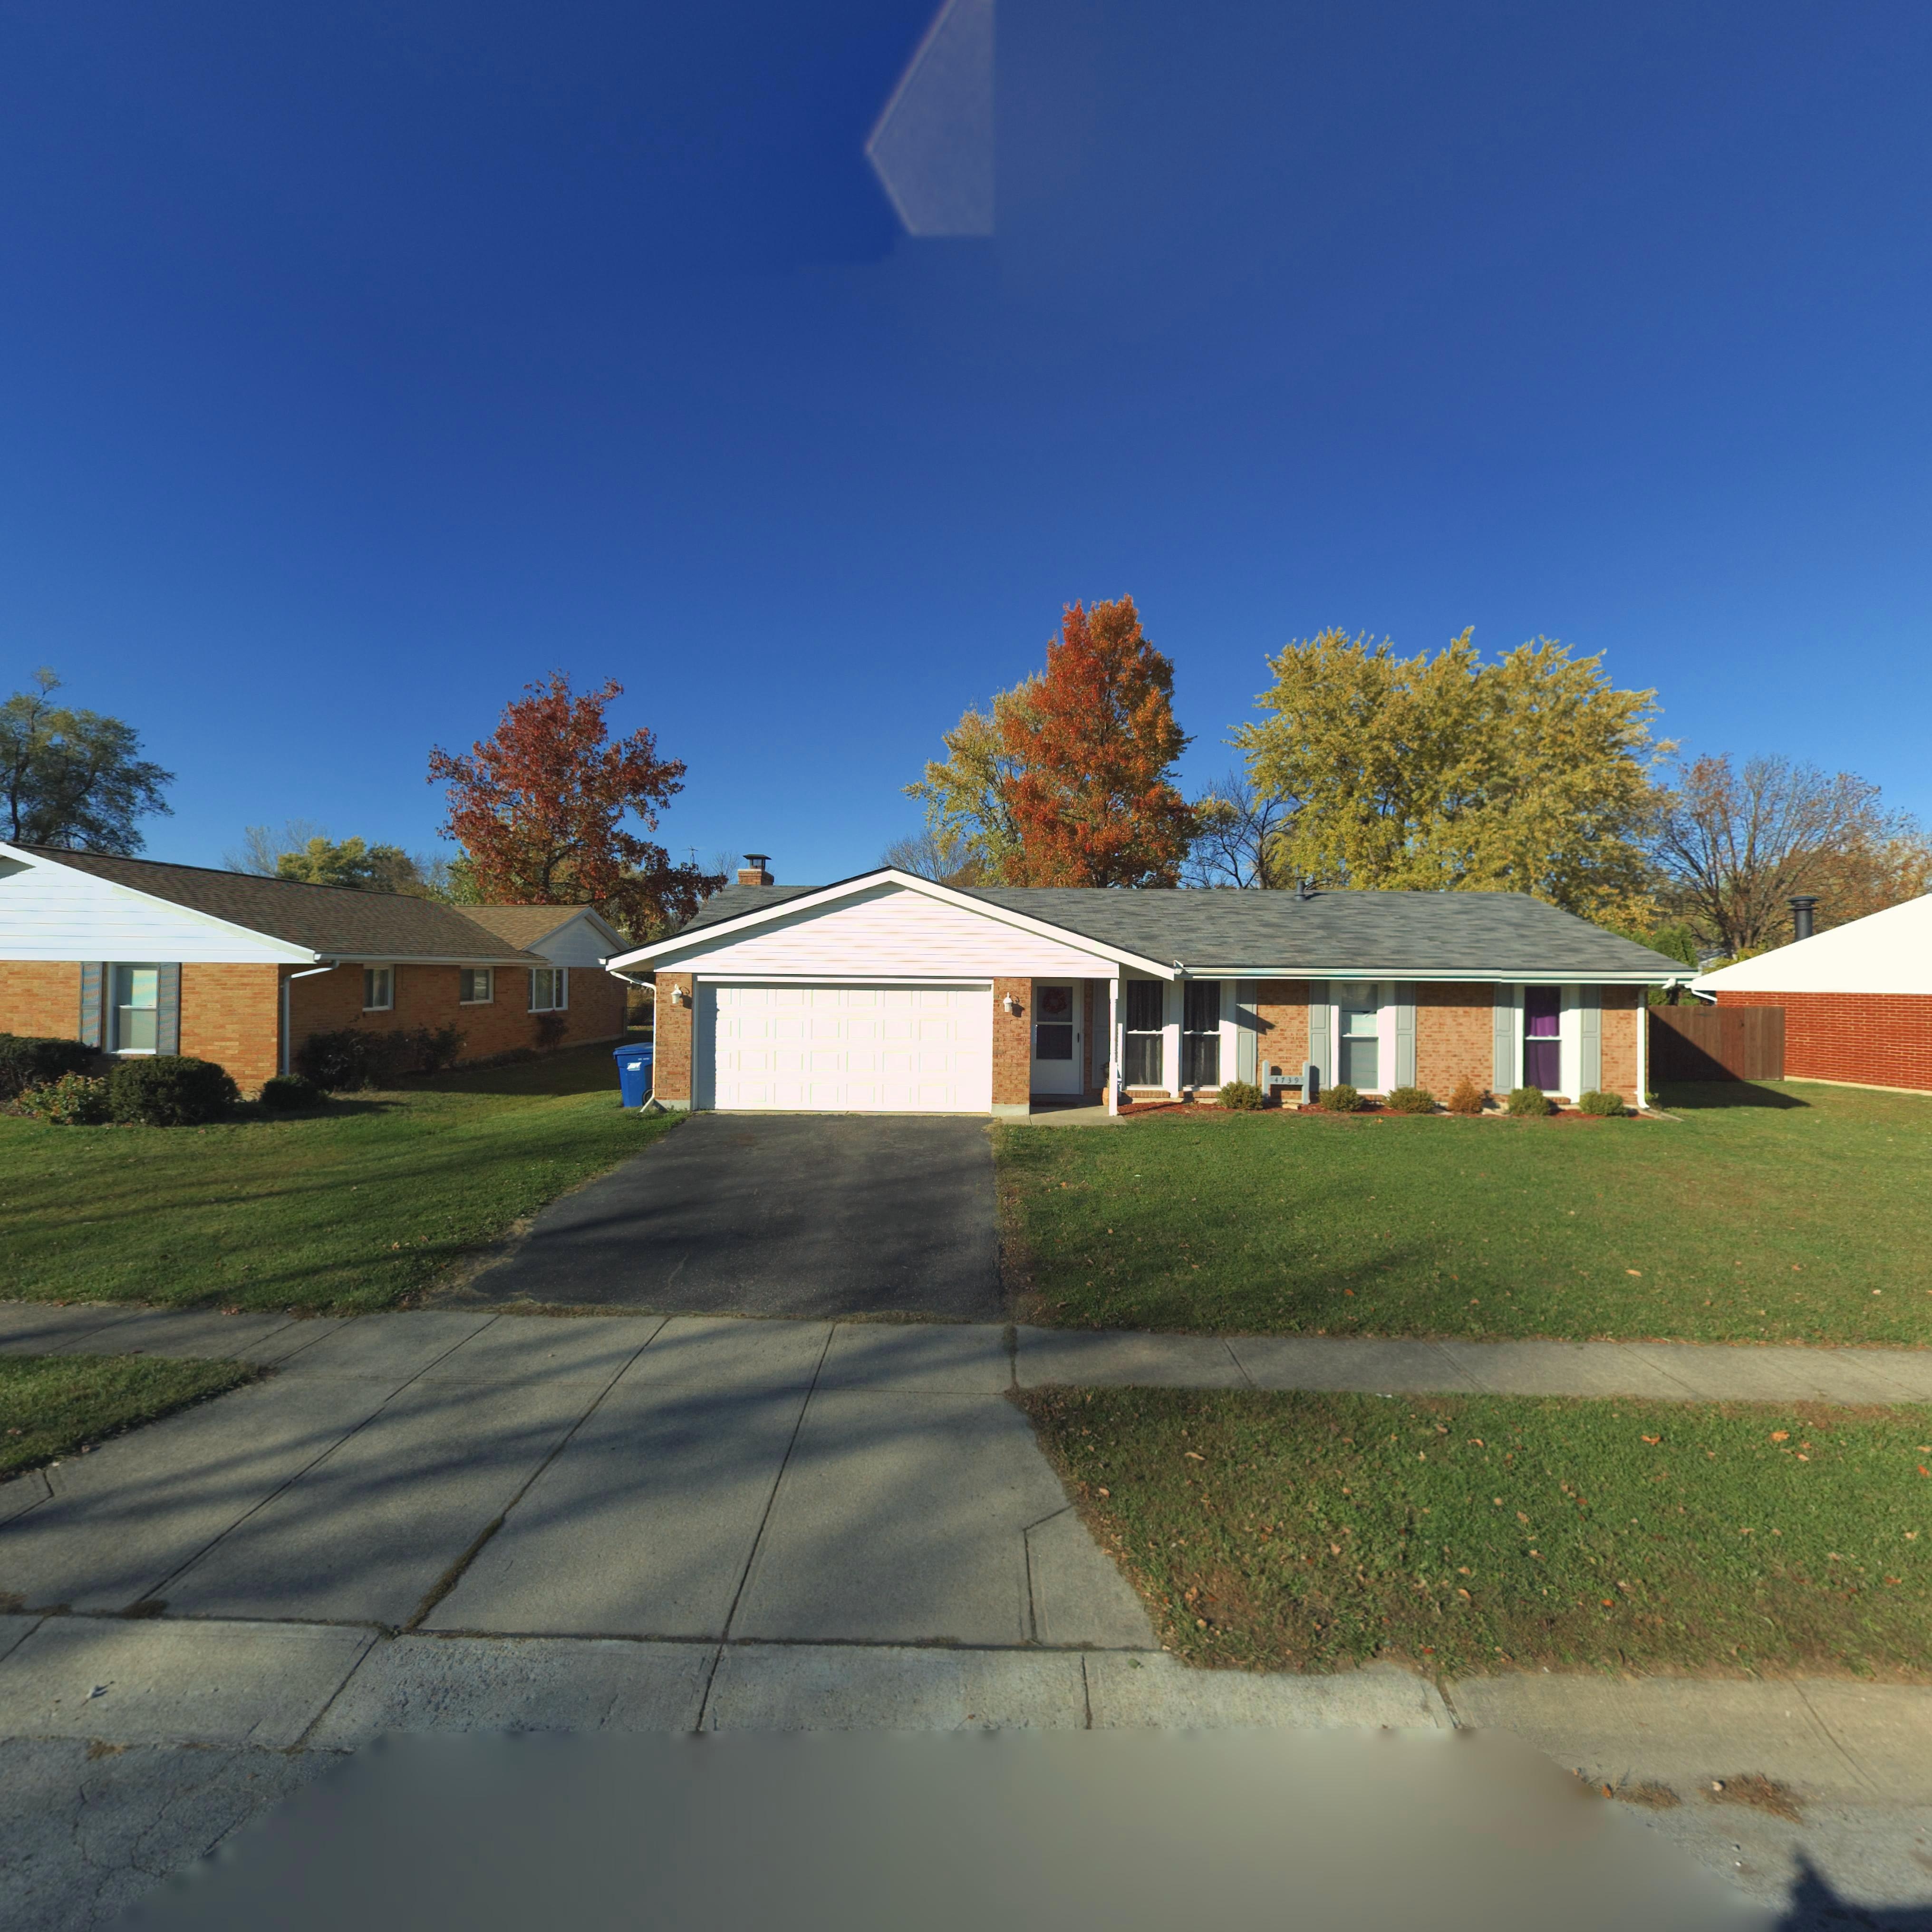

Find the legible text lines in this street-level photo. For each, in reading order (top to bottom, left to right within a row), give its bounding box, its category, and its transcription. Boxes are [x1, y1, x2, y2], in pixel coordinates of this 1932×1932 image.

[1273, 1076, 1301, 1085] StreetNumber: 4739